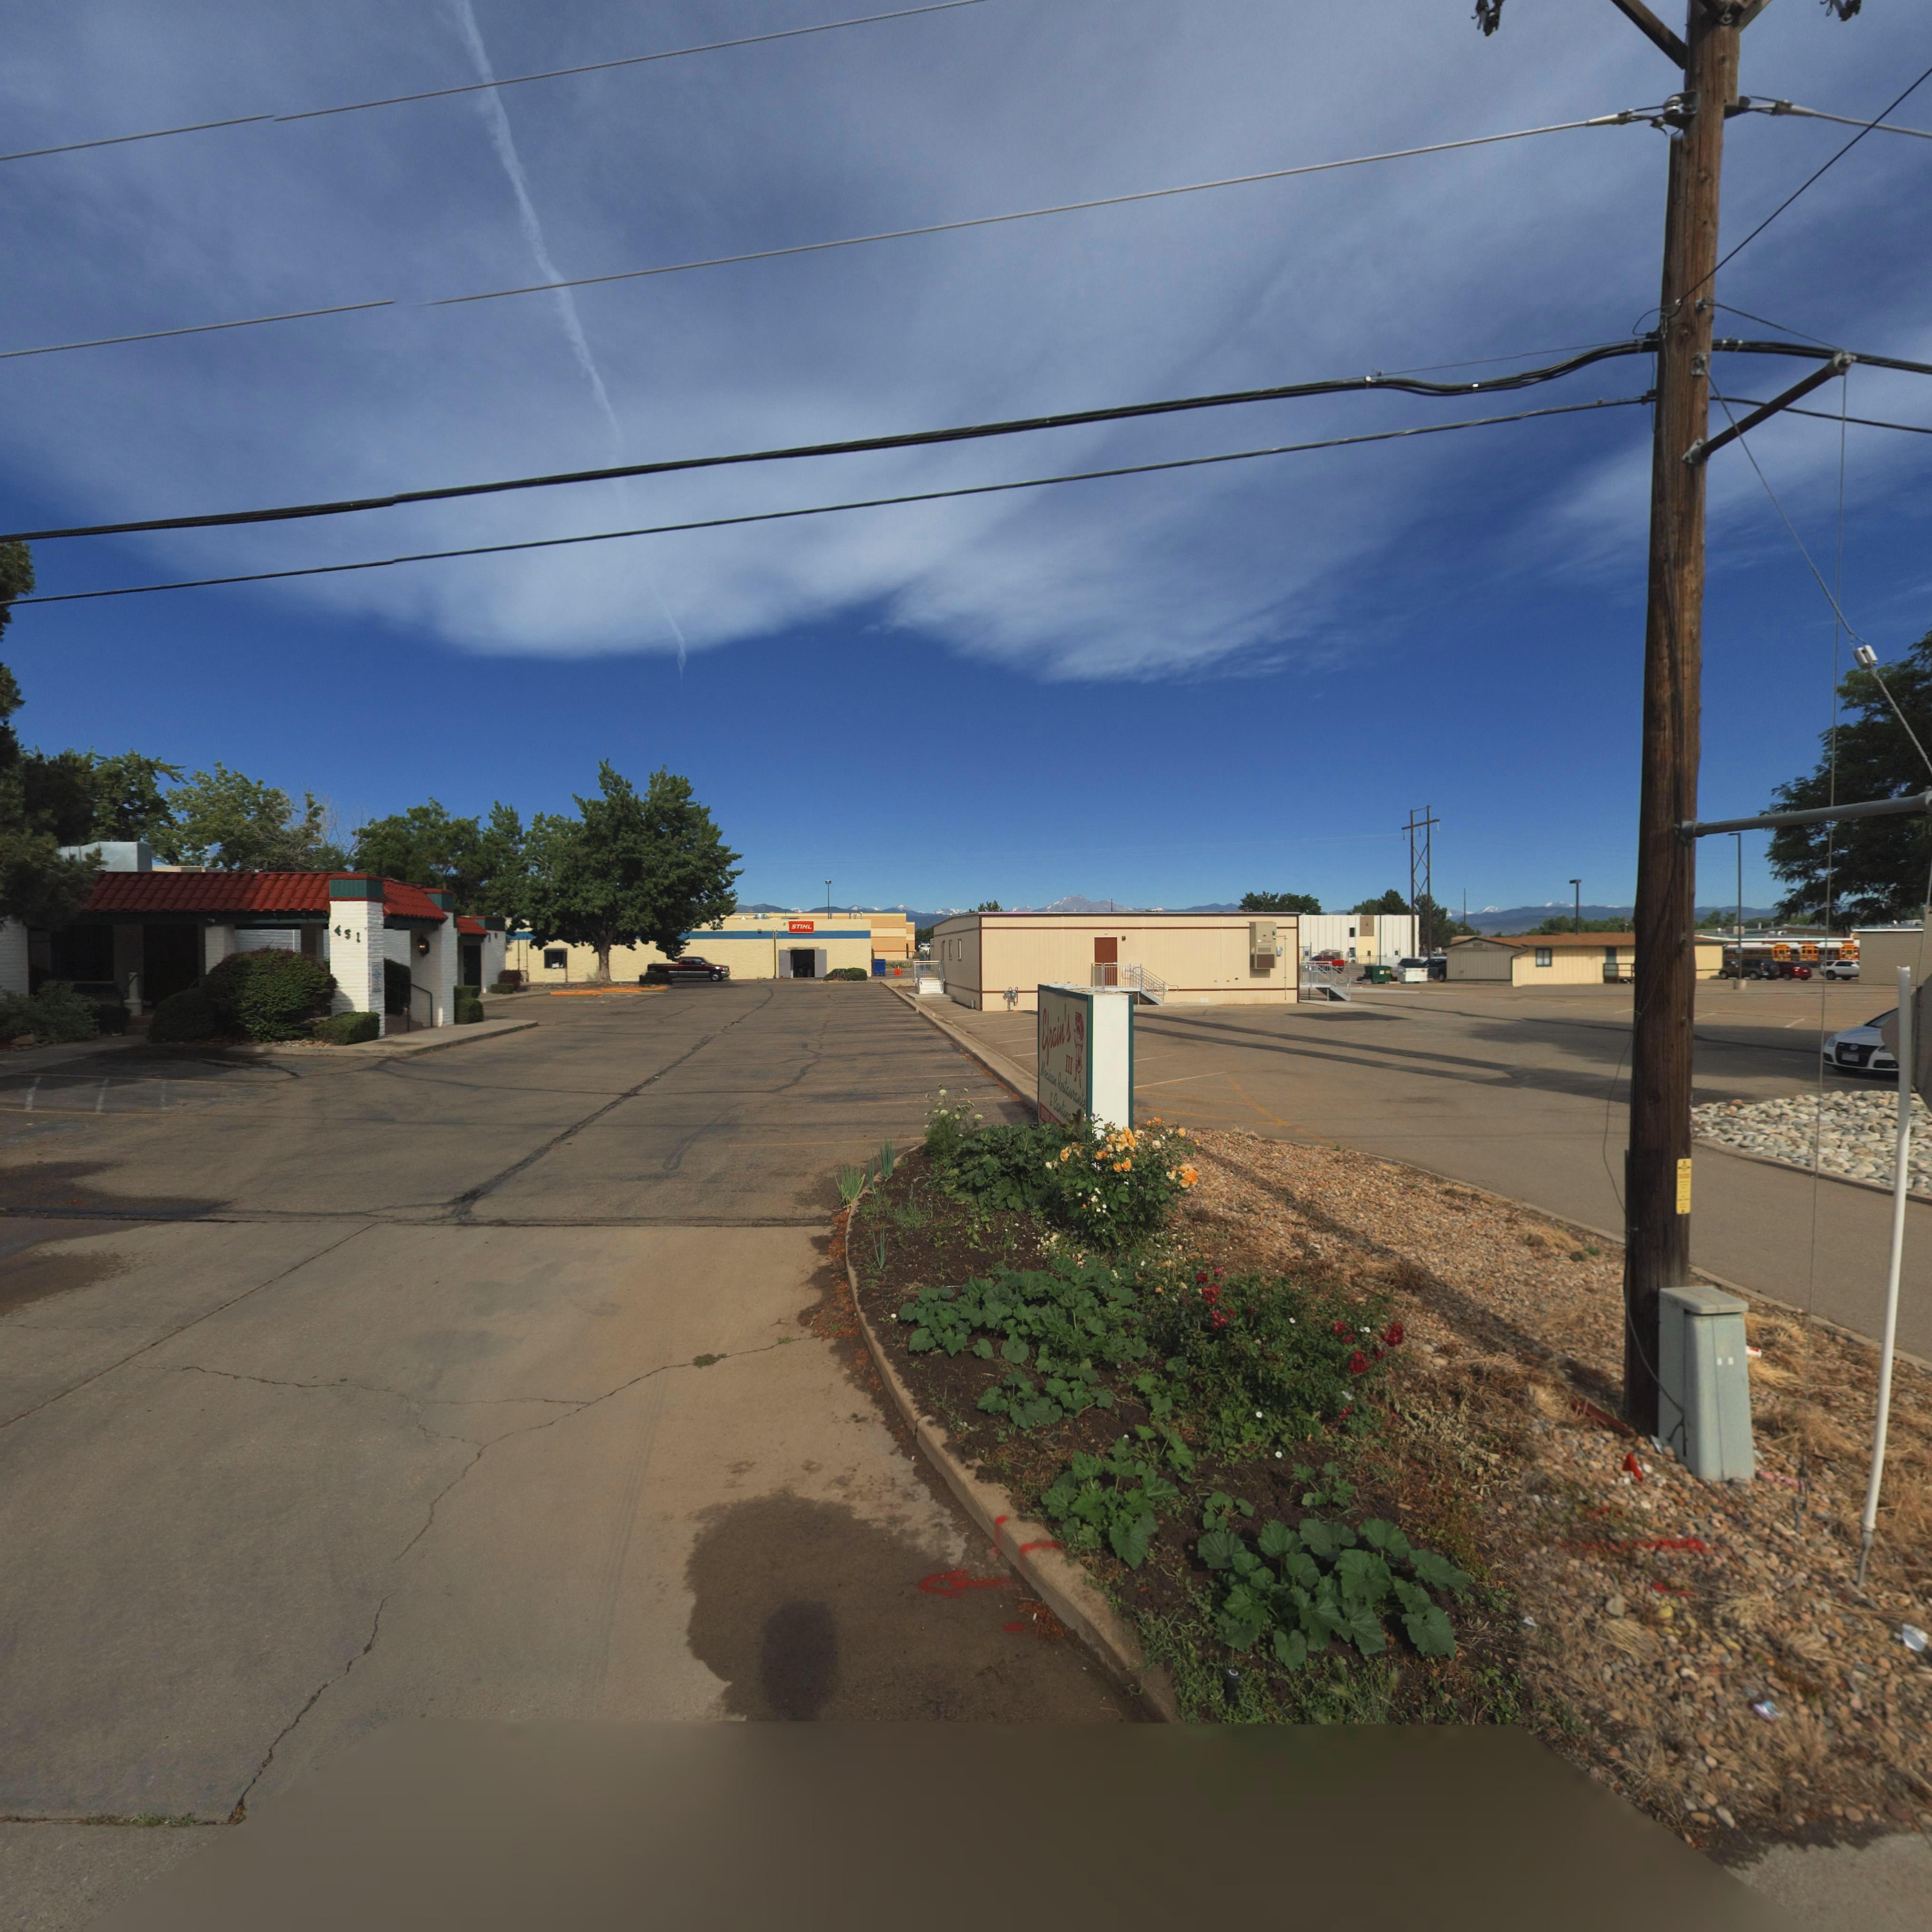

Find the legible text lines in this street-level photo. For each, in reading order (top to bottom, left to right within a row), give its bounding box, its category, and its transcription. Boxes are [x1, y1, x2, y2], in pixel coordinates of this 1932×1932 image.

[333, 924, 361, 943] StreetNumber: 451
[791, 924, 811, 929] BusinessName: STIHL
[1041, 1003, 1072, 1066] BusinessName: Efrain*s
[1039, 1060, 1086, 1111] BusinessName: Mexican Restaurante
[1048, 1092, 1071, 1123] BusinessName: * Cantin*